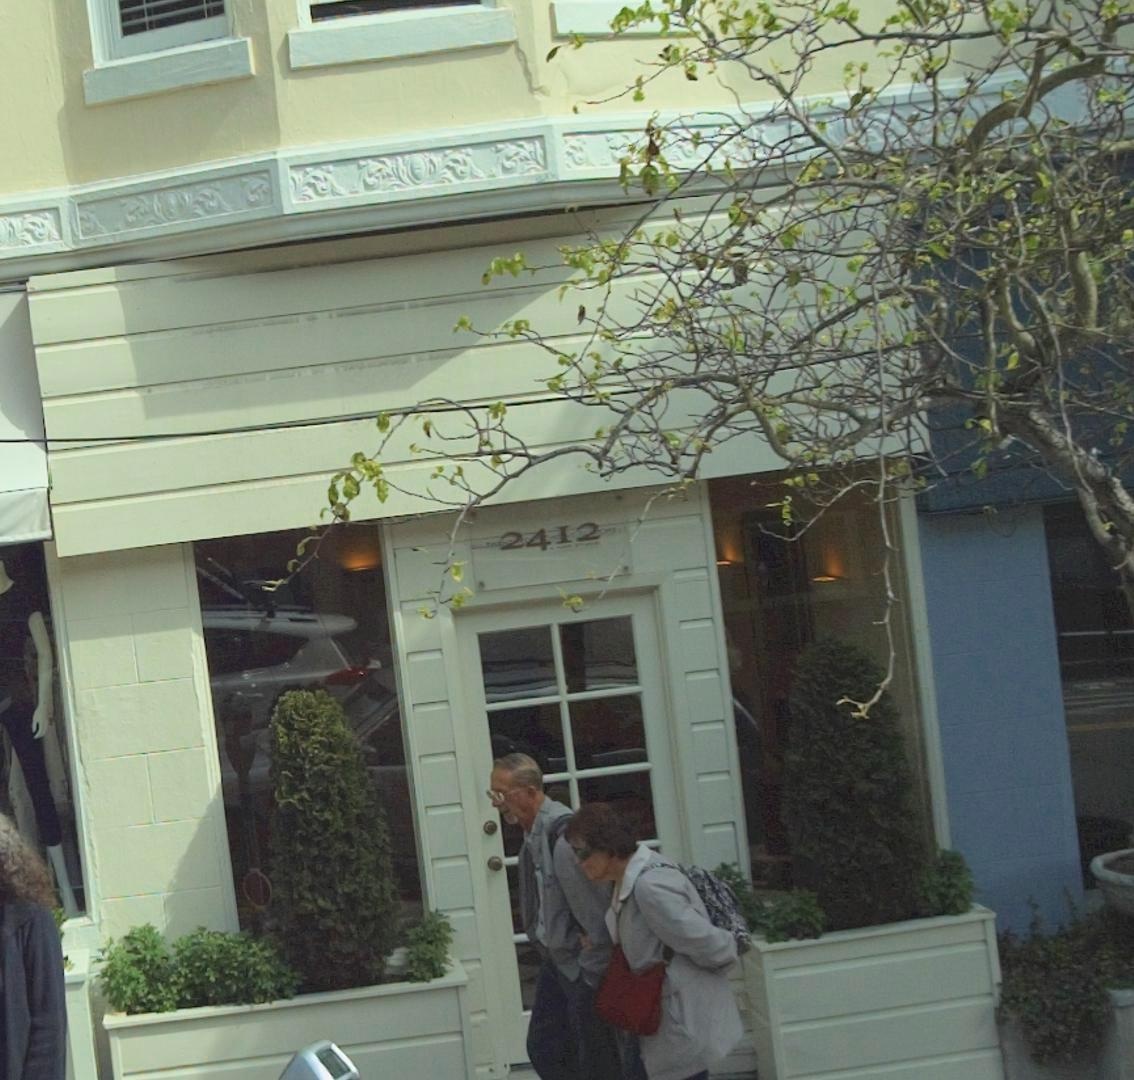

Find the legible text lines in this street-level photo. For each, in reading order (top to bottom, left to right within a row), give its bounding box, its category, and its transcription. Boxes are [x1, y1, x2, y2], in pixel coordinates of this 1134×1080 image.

[496, 517, 606, 557] StreetNumber: 2412